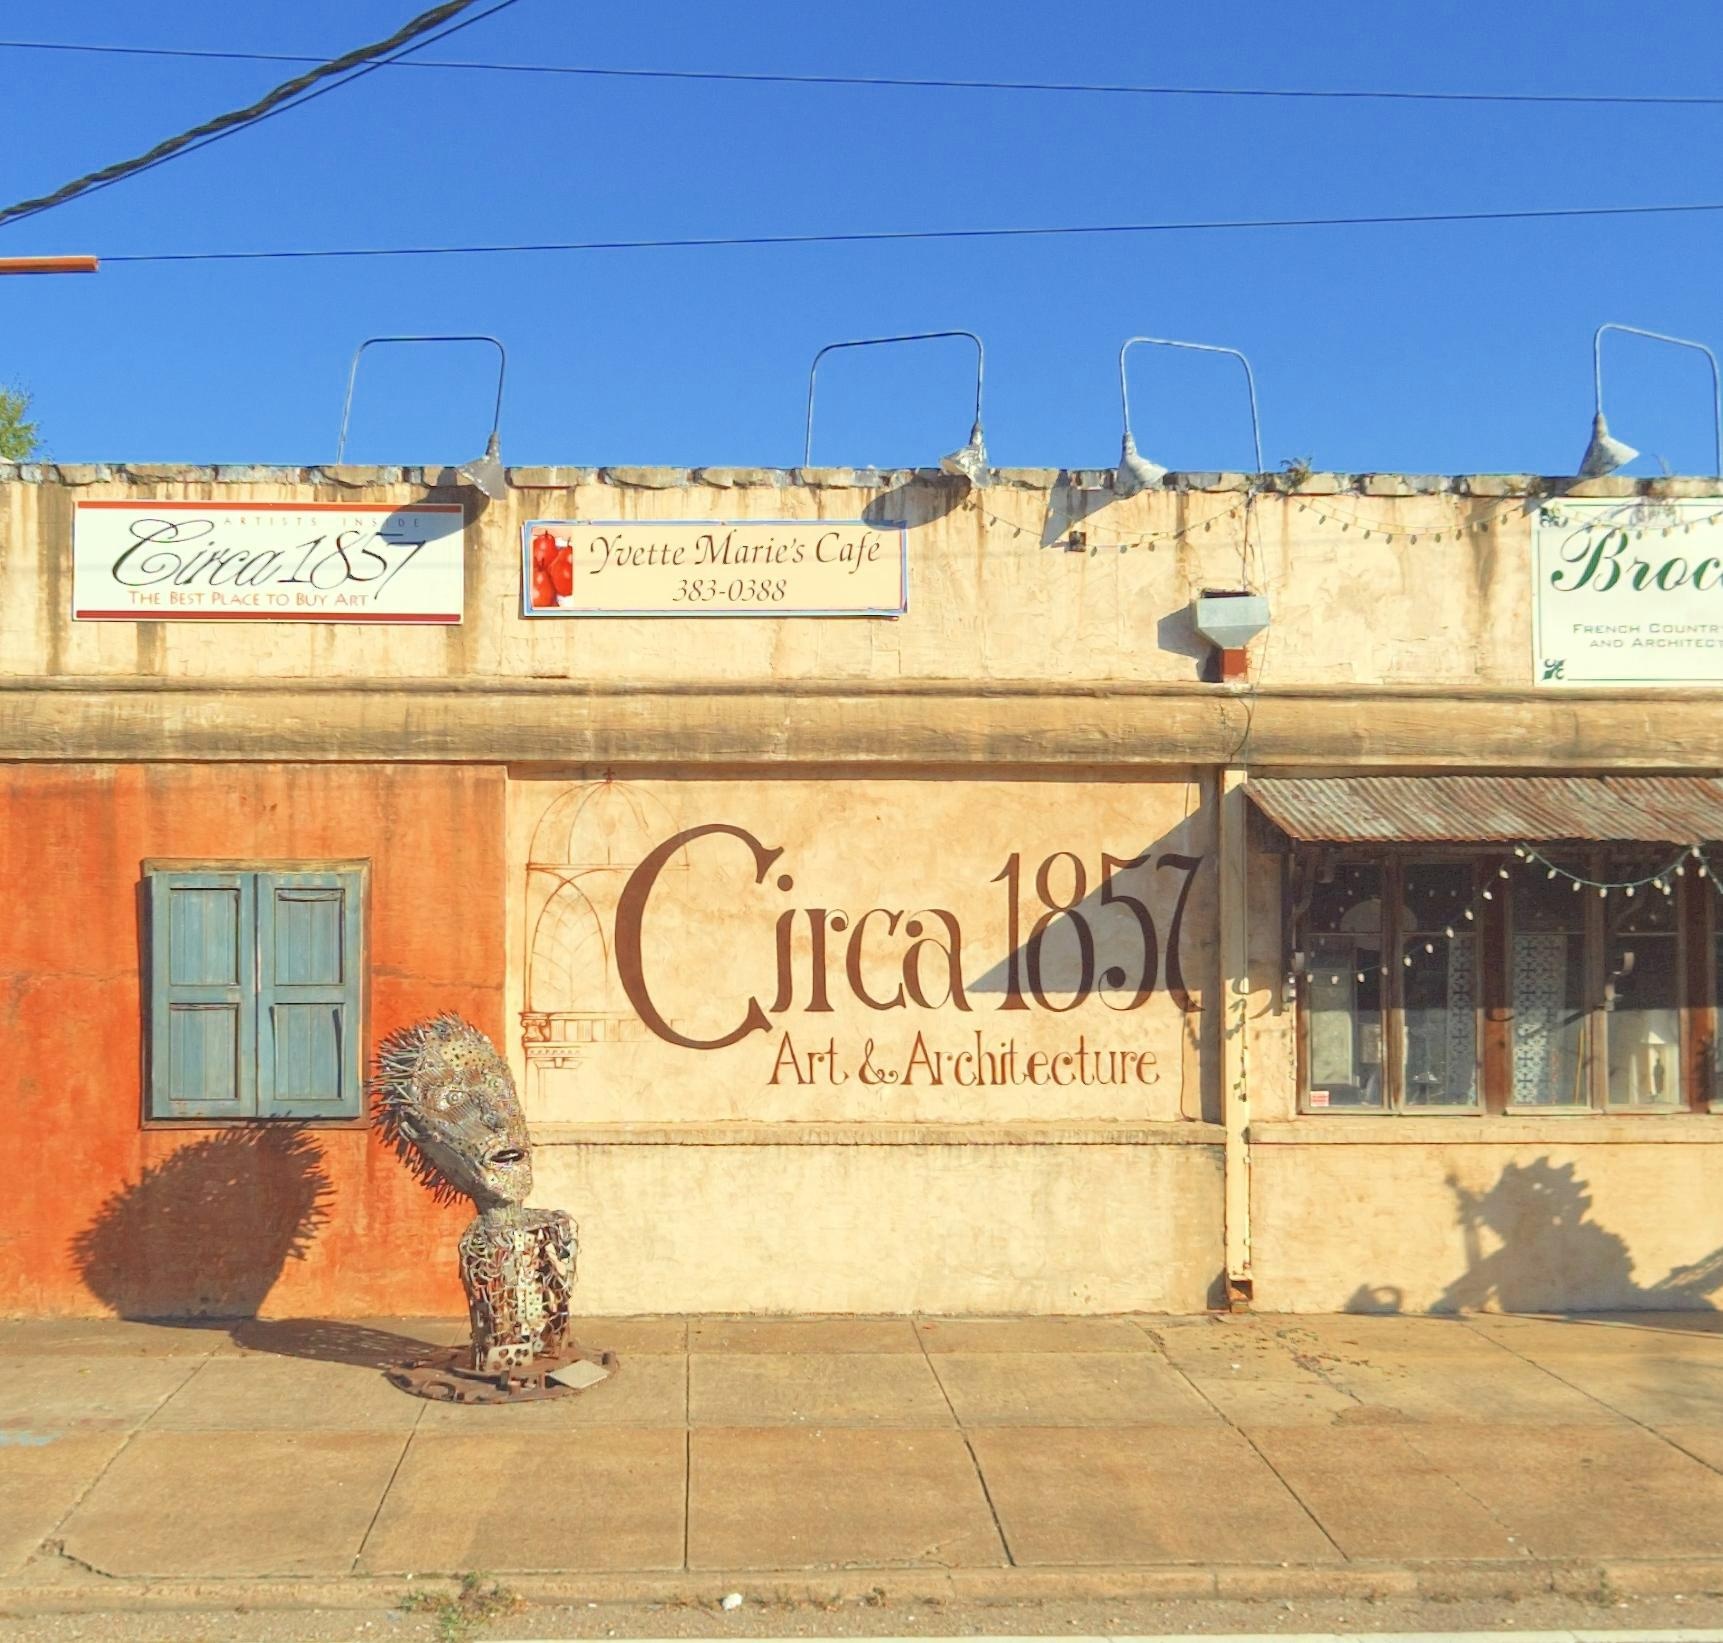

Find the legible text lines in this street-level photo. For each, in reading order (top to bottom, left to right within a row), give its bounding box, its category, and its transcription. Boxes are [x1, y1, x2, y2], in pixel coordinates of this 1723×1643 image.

[222, 513, 422, 530] None: ARTISTS INSIDE
[107, 513, 435, 604] BusinessName: Circa 1857
[581, 527, 887, 577] BusinessName: Yvette Marie's Cafe
[1547, 521, 1722, 594] BusinessName: Broc
[125, 588, 371, 608] None: THE BEST PLACE TO BUY ART
[666, 575, 793, 605] None: 383-0388
[1571, 622, 1721, 636] None: FRENCH COUNTR
[1587, 636, 1718, 650] None: AND ARCHITEC
[606, 818, 1209, 1057] BusinessName: Circa 1857
[759, 1024, 1166, 1089] BusinessName: Art & Architecture